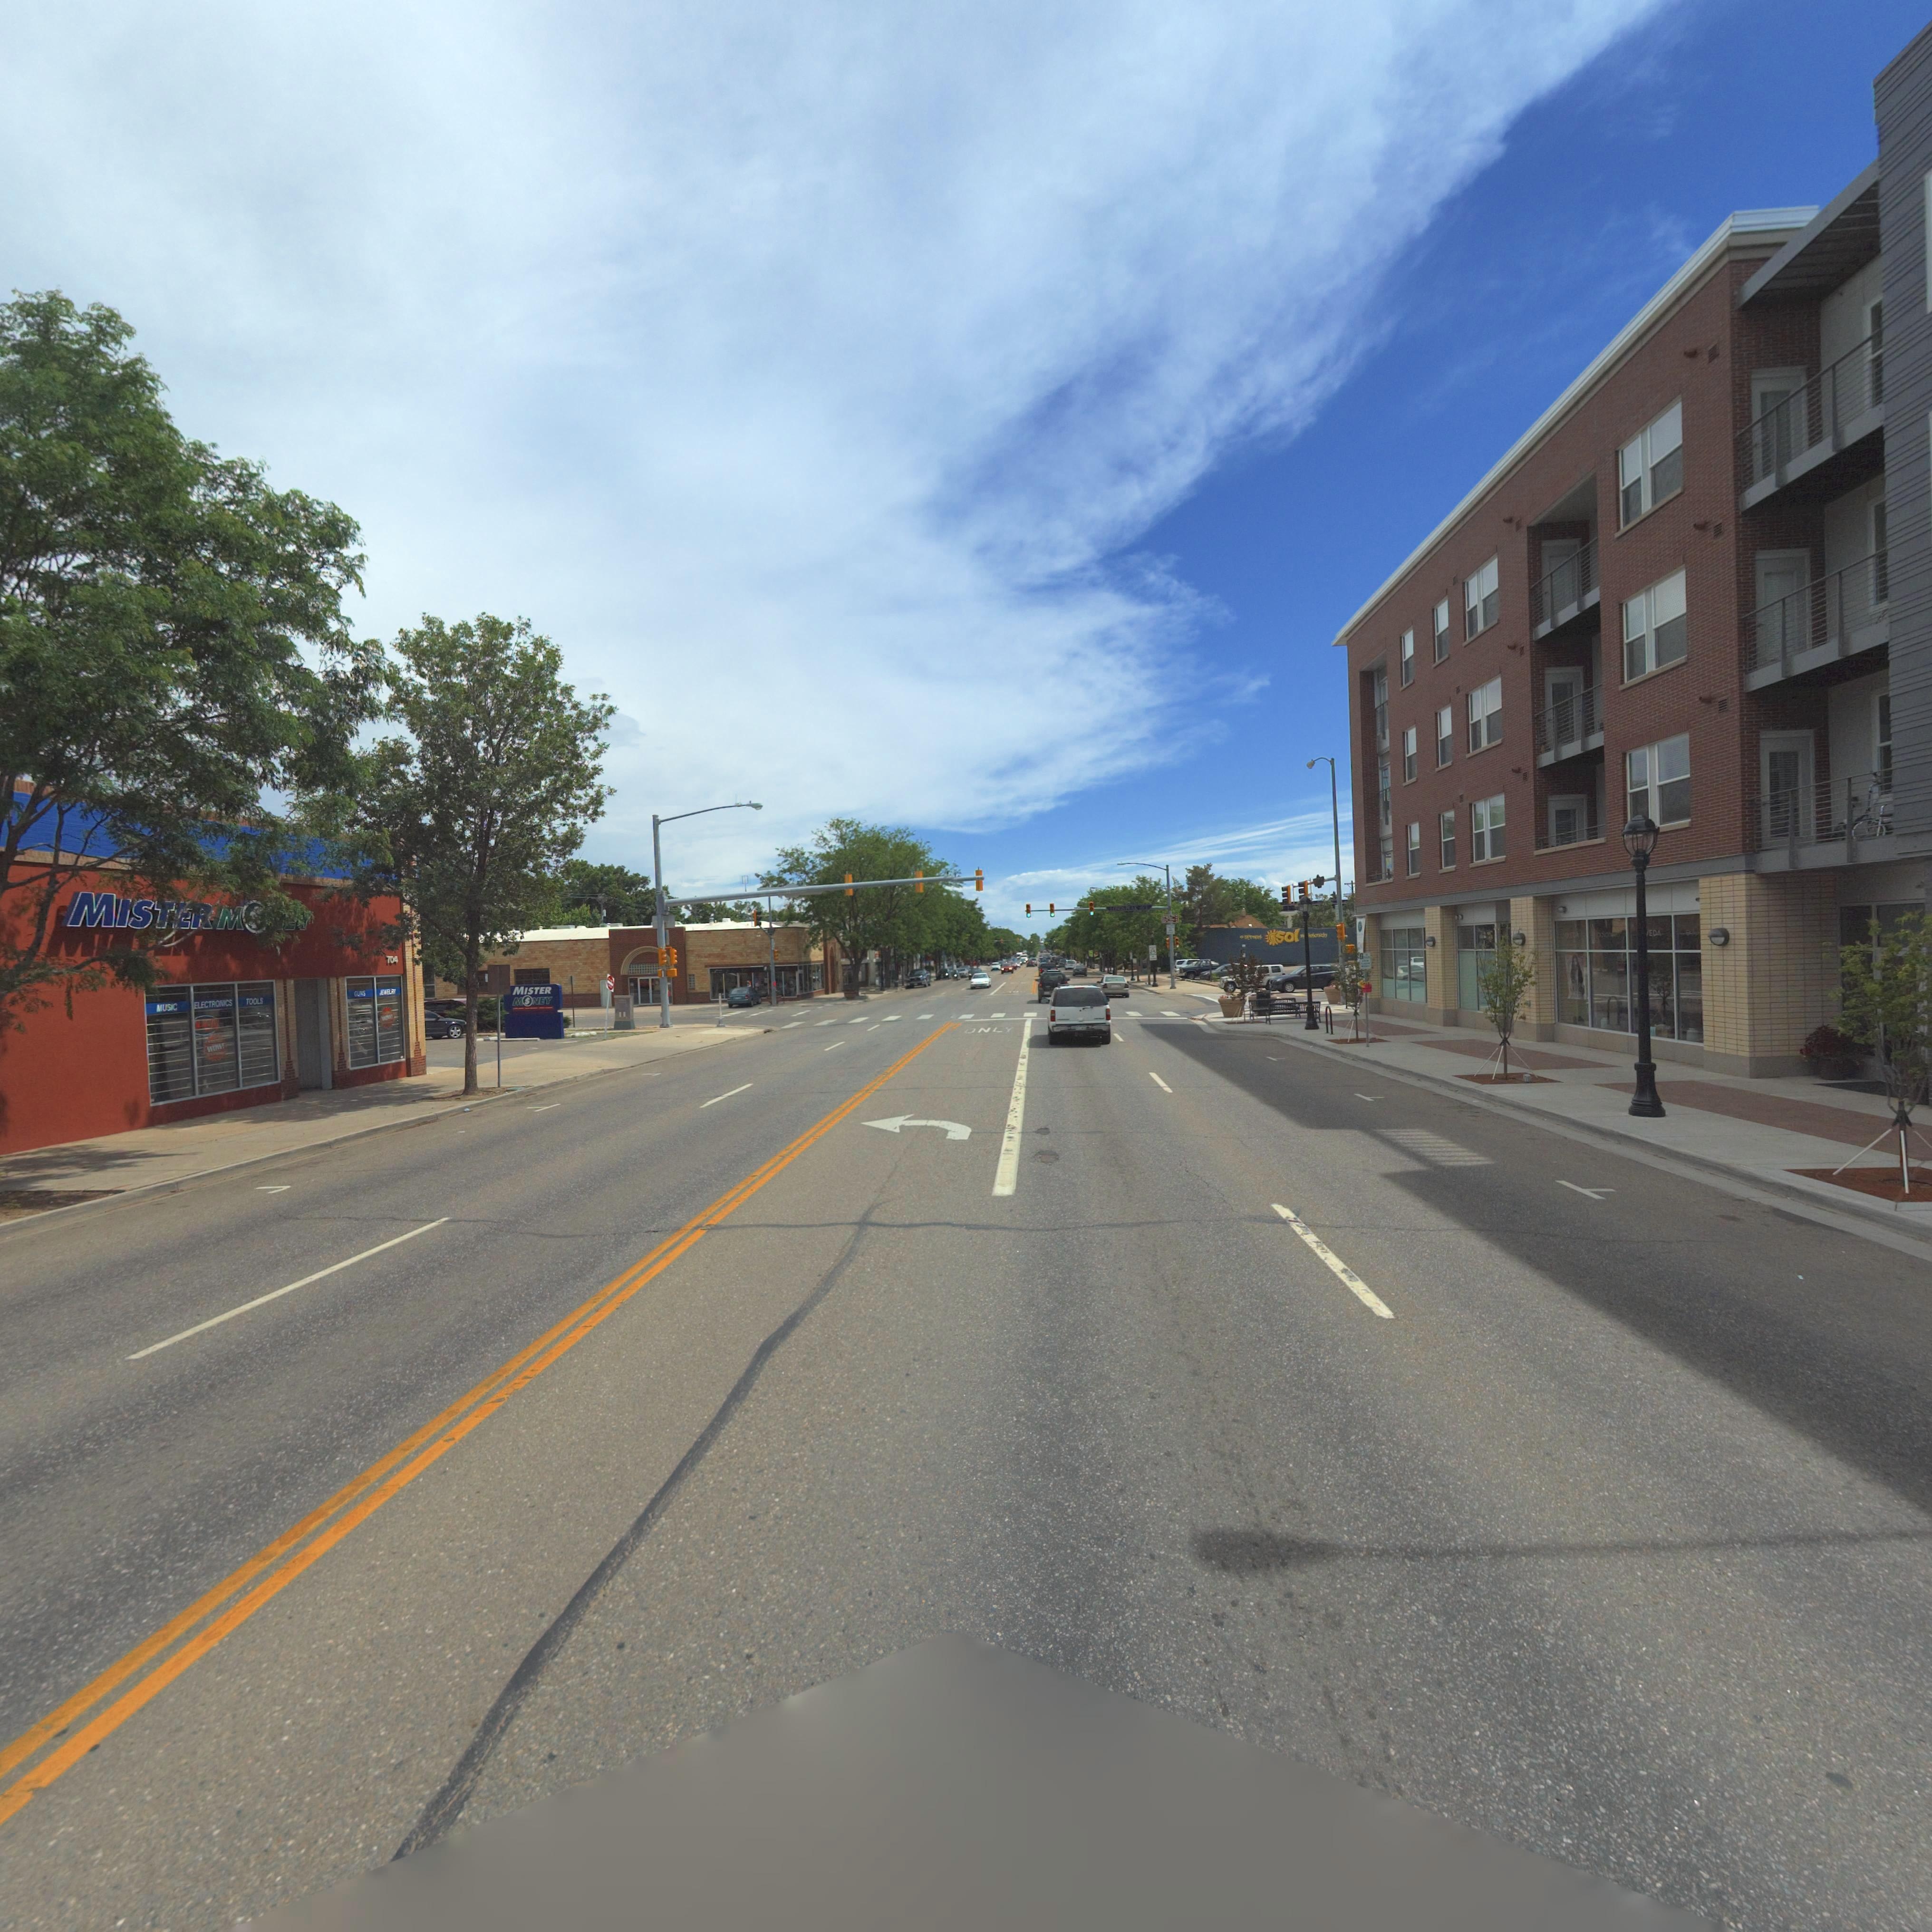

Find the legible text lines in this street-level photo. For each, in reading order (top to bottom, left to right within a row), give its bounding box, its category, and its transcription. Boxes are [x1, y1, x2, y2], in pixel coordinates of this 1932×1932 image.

[65, 891, 315, 931] BusinessName: MISTER M****
[1110, 905, 1148, 911] StreetName: LONGS PEAK AVE
[1274, 927, 1300, 944] BusinessName: SOL
[1308, 931, 1328, 938] BusinessName: teboards
[386, 956, 398, 965] StreetNumber: 704
[512, 986, 551, 995] BusinessName: MISTER
[512, 996, 553, 1006] BusinessName: M*NEY